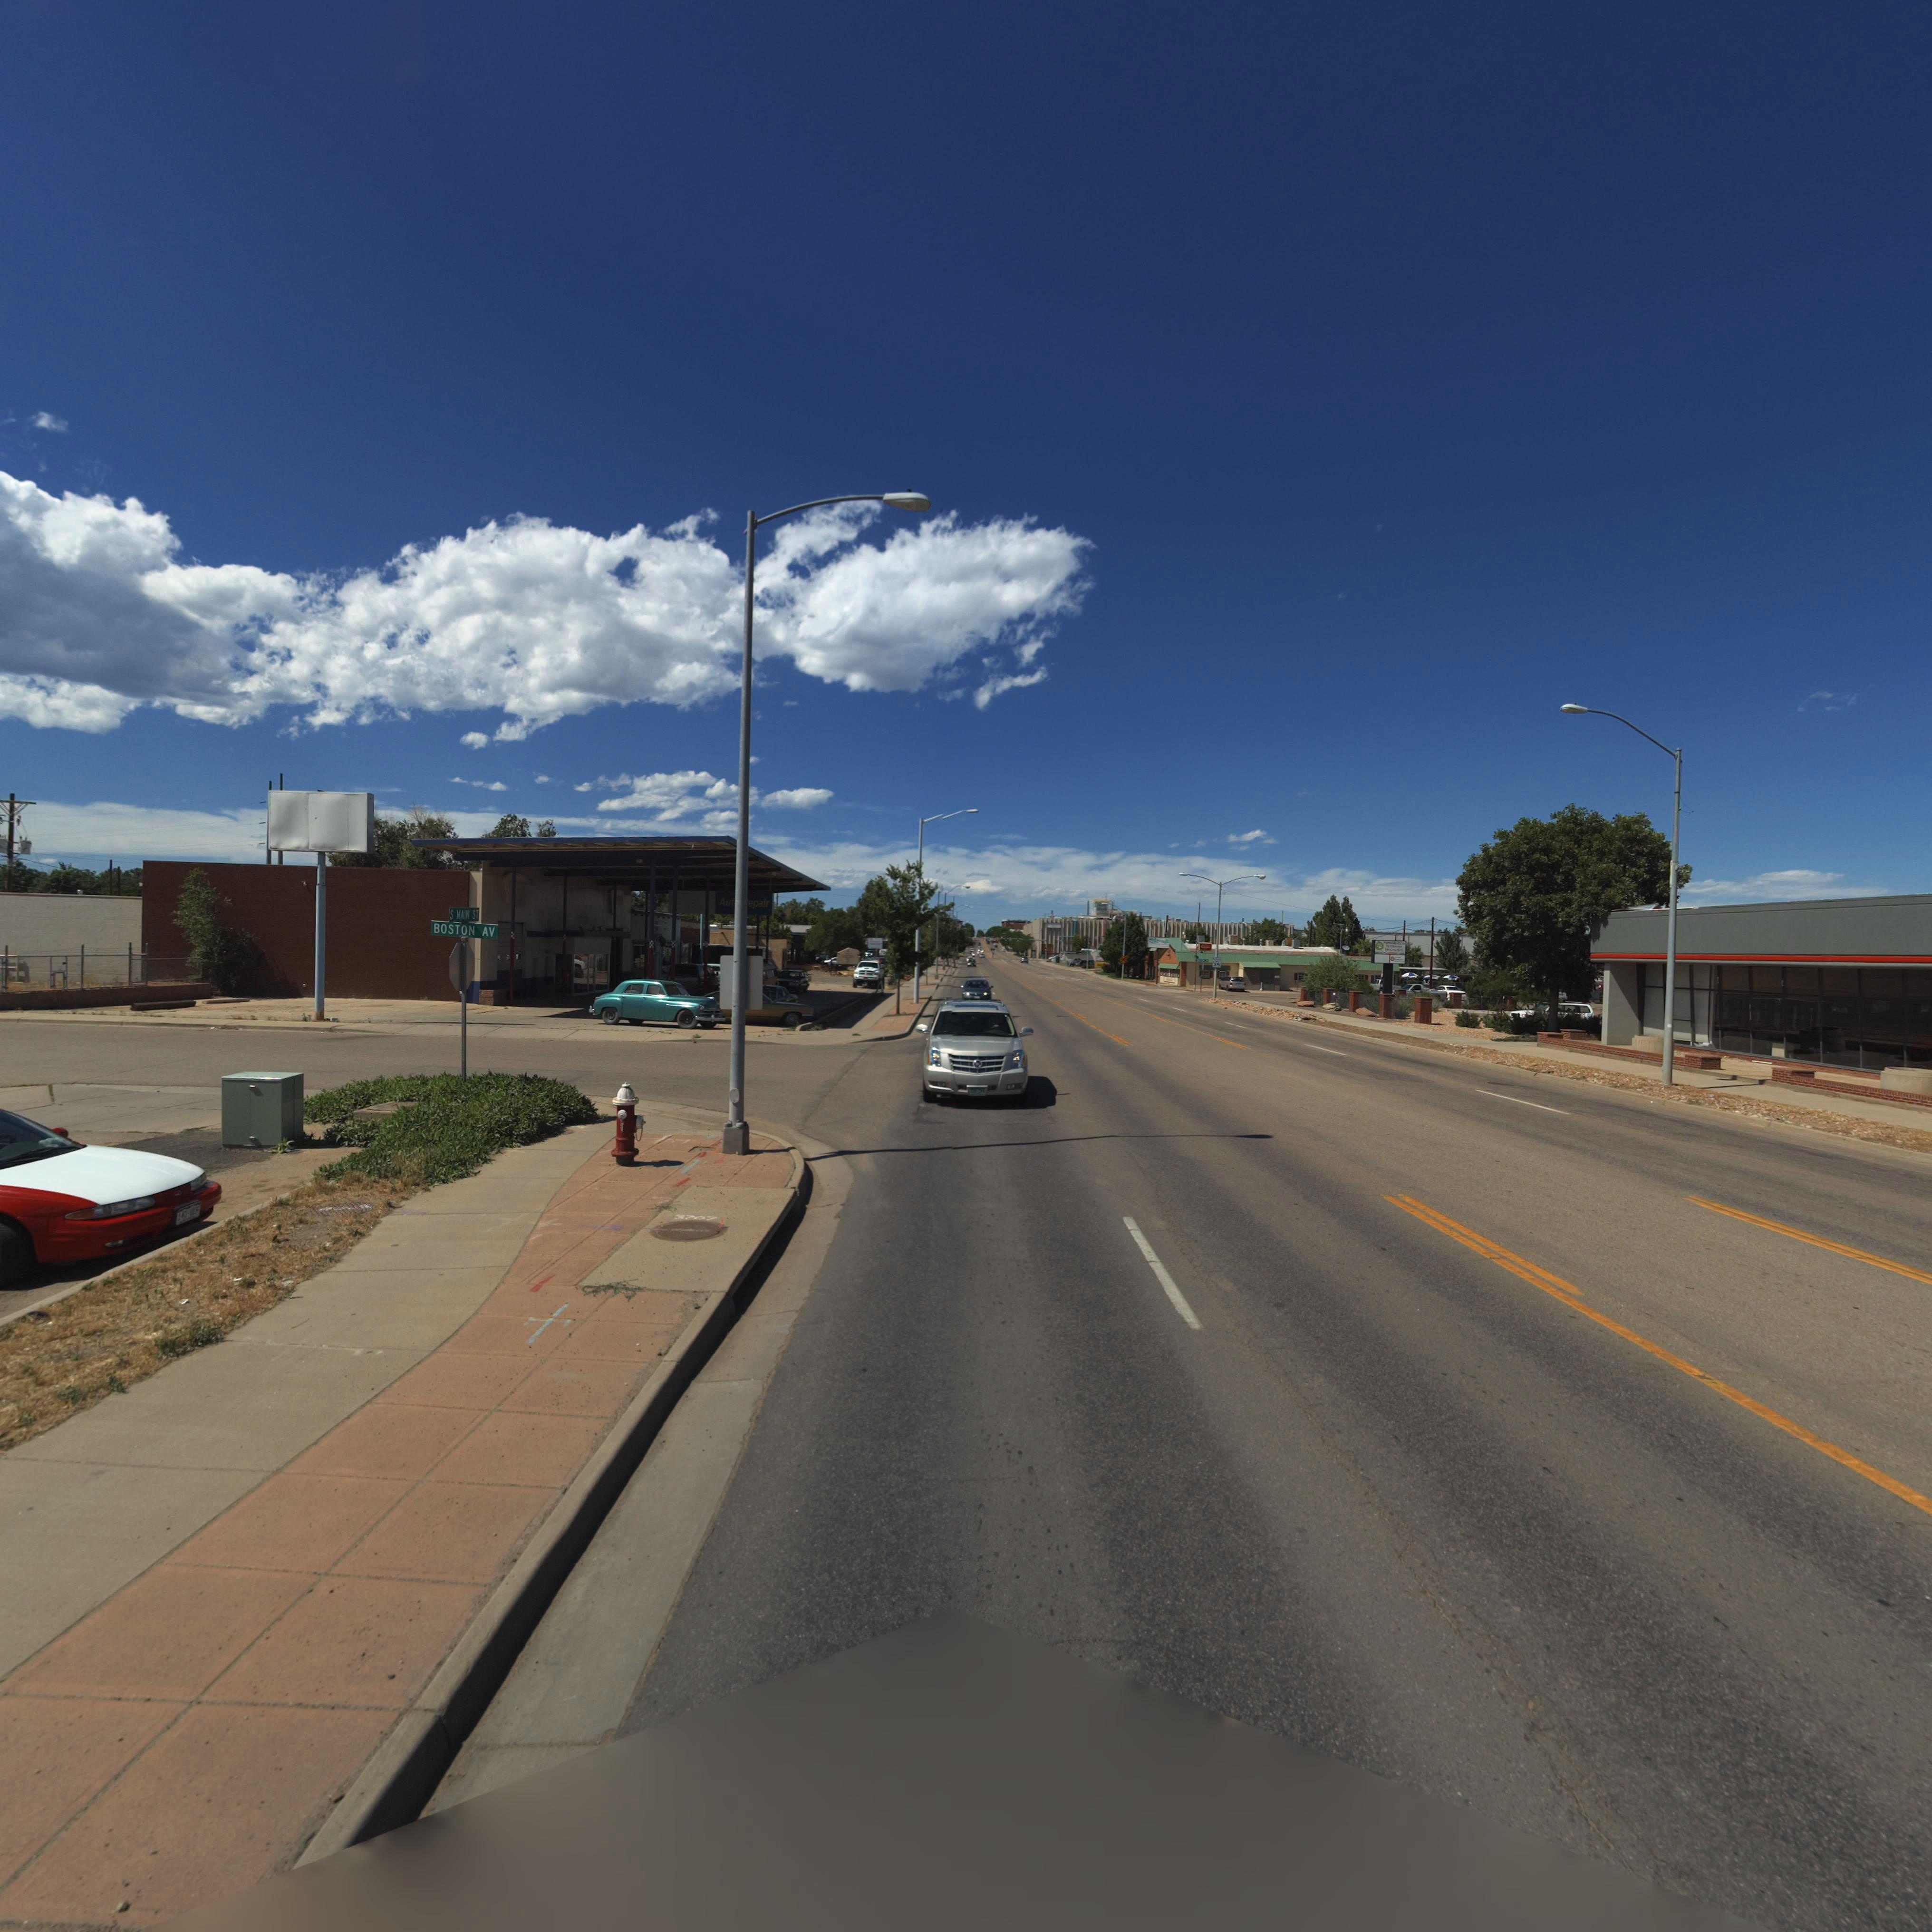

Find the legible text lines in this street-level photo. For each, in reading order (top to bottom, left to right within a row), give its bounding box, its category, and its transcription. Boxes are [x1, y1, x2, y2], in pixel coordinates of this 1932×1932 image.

[449, 909, 479, 920] StreetName: S MAIN ST
[434, 923, 496, 937] StreetName: BOSTON AV
[1384, 947, 1403, 951] BusinessName: SP*CI*L*STS
[1385, 944, 1402, 948] BusinessName: VE********